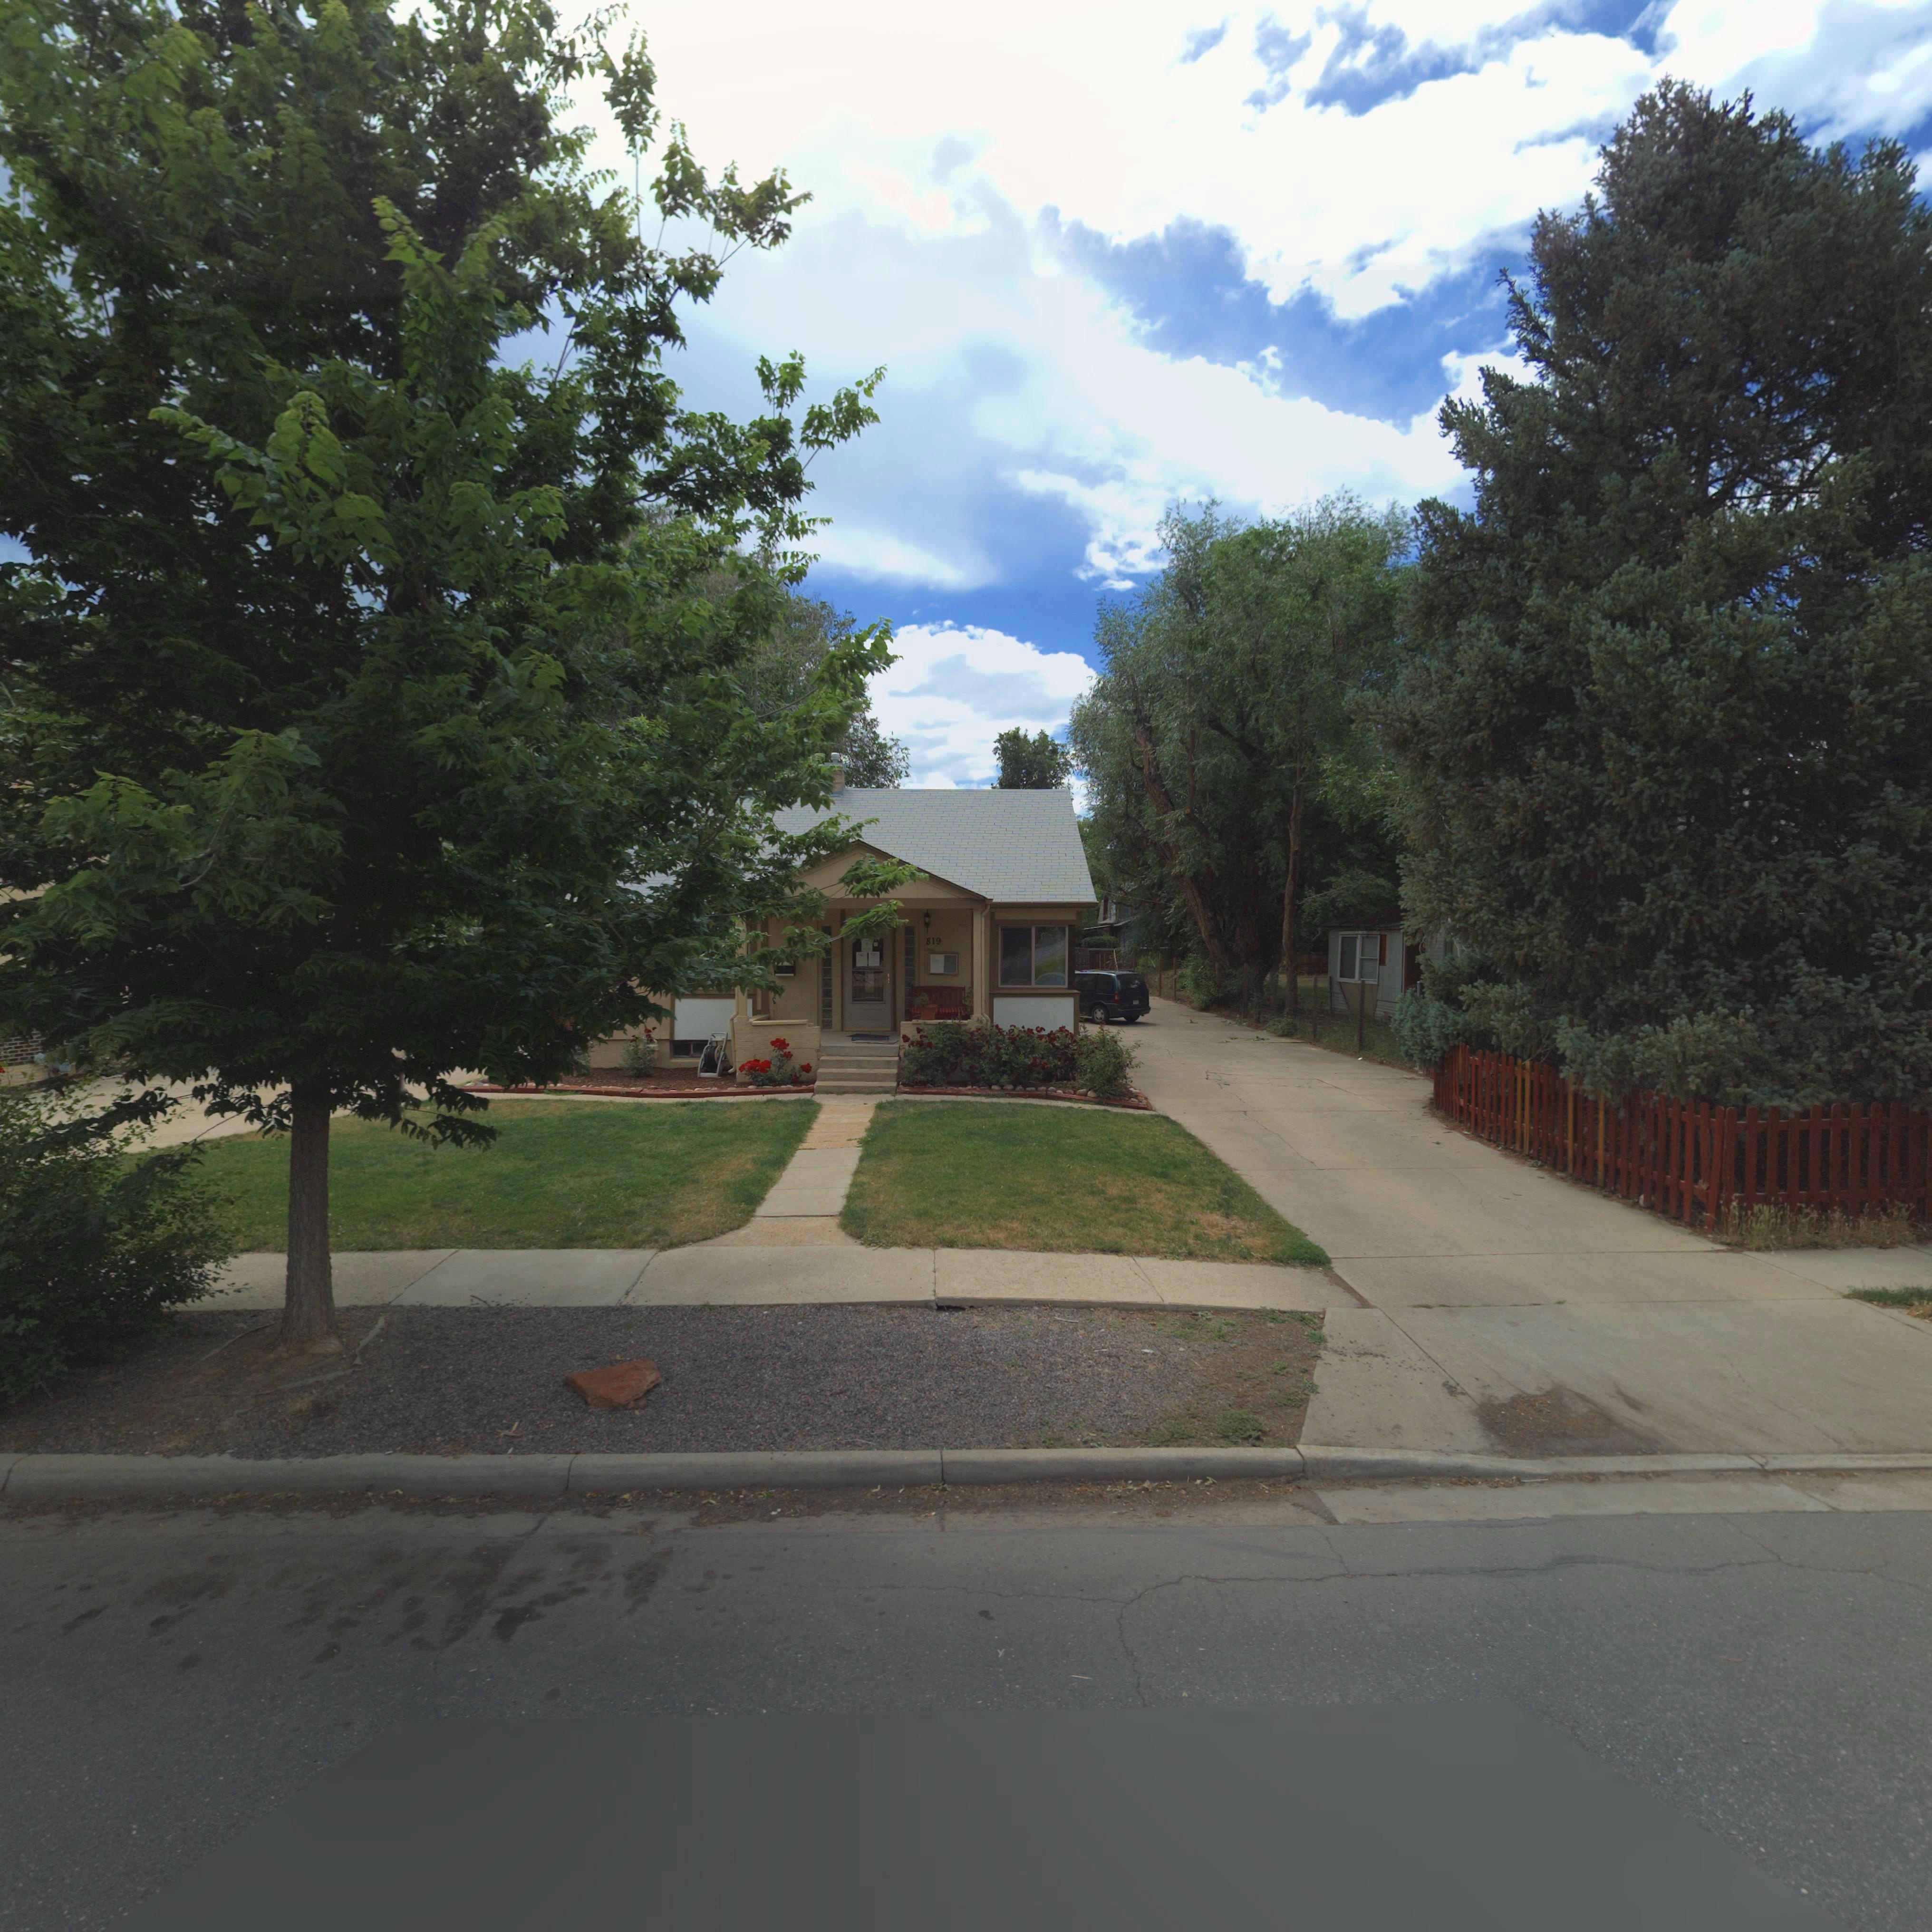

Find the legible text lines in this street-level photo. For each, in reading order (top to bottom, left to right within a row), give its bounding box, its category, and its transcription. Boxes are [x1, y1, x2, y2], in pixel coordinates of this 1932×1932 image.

[925, 937, 941, 945] StreetNumber: 819